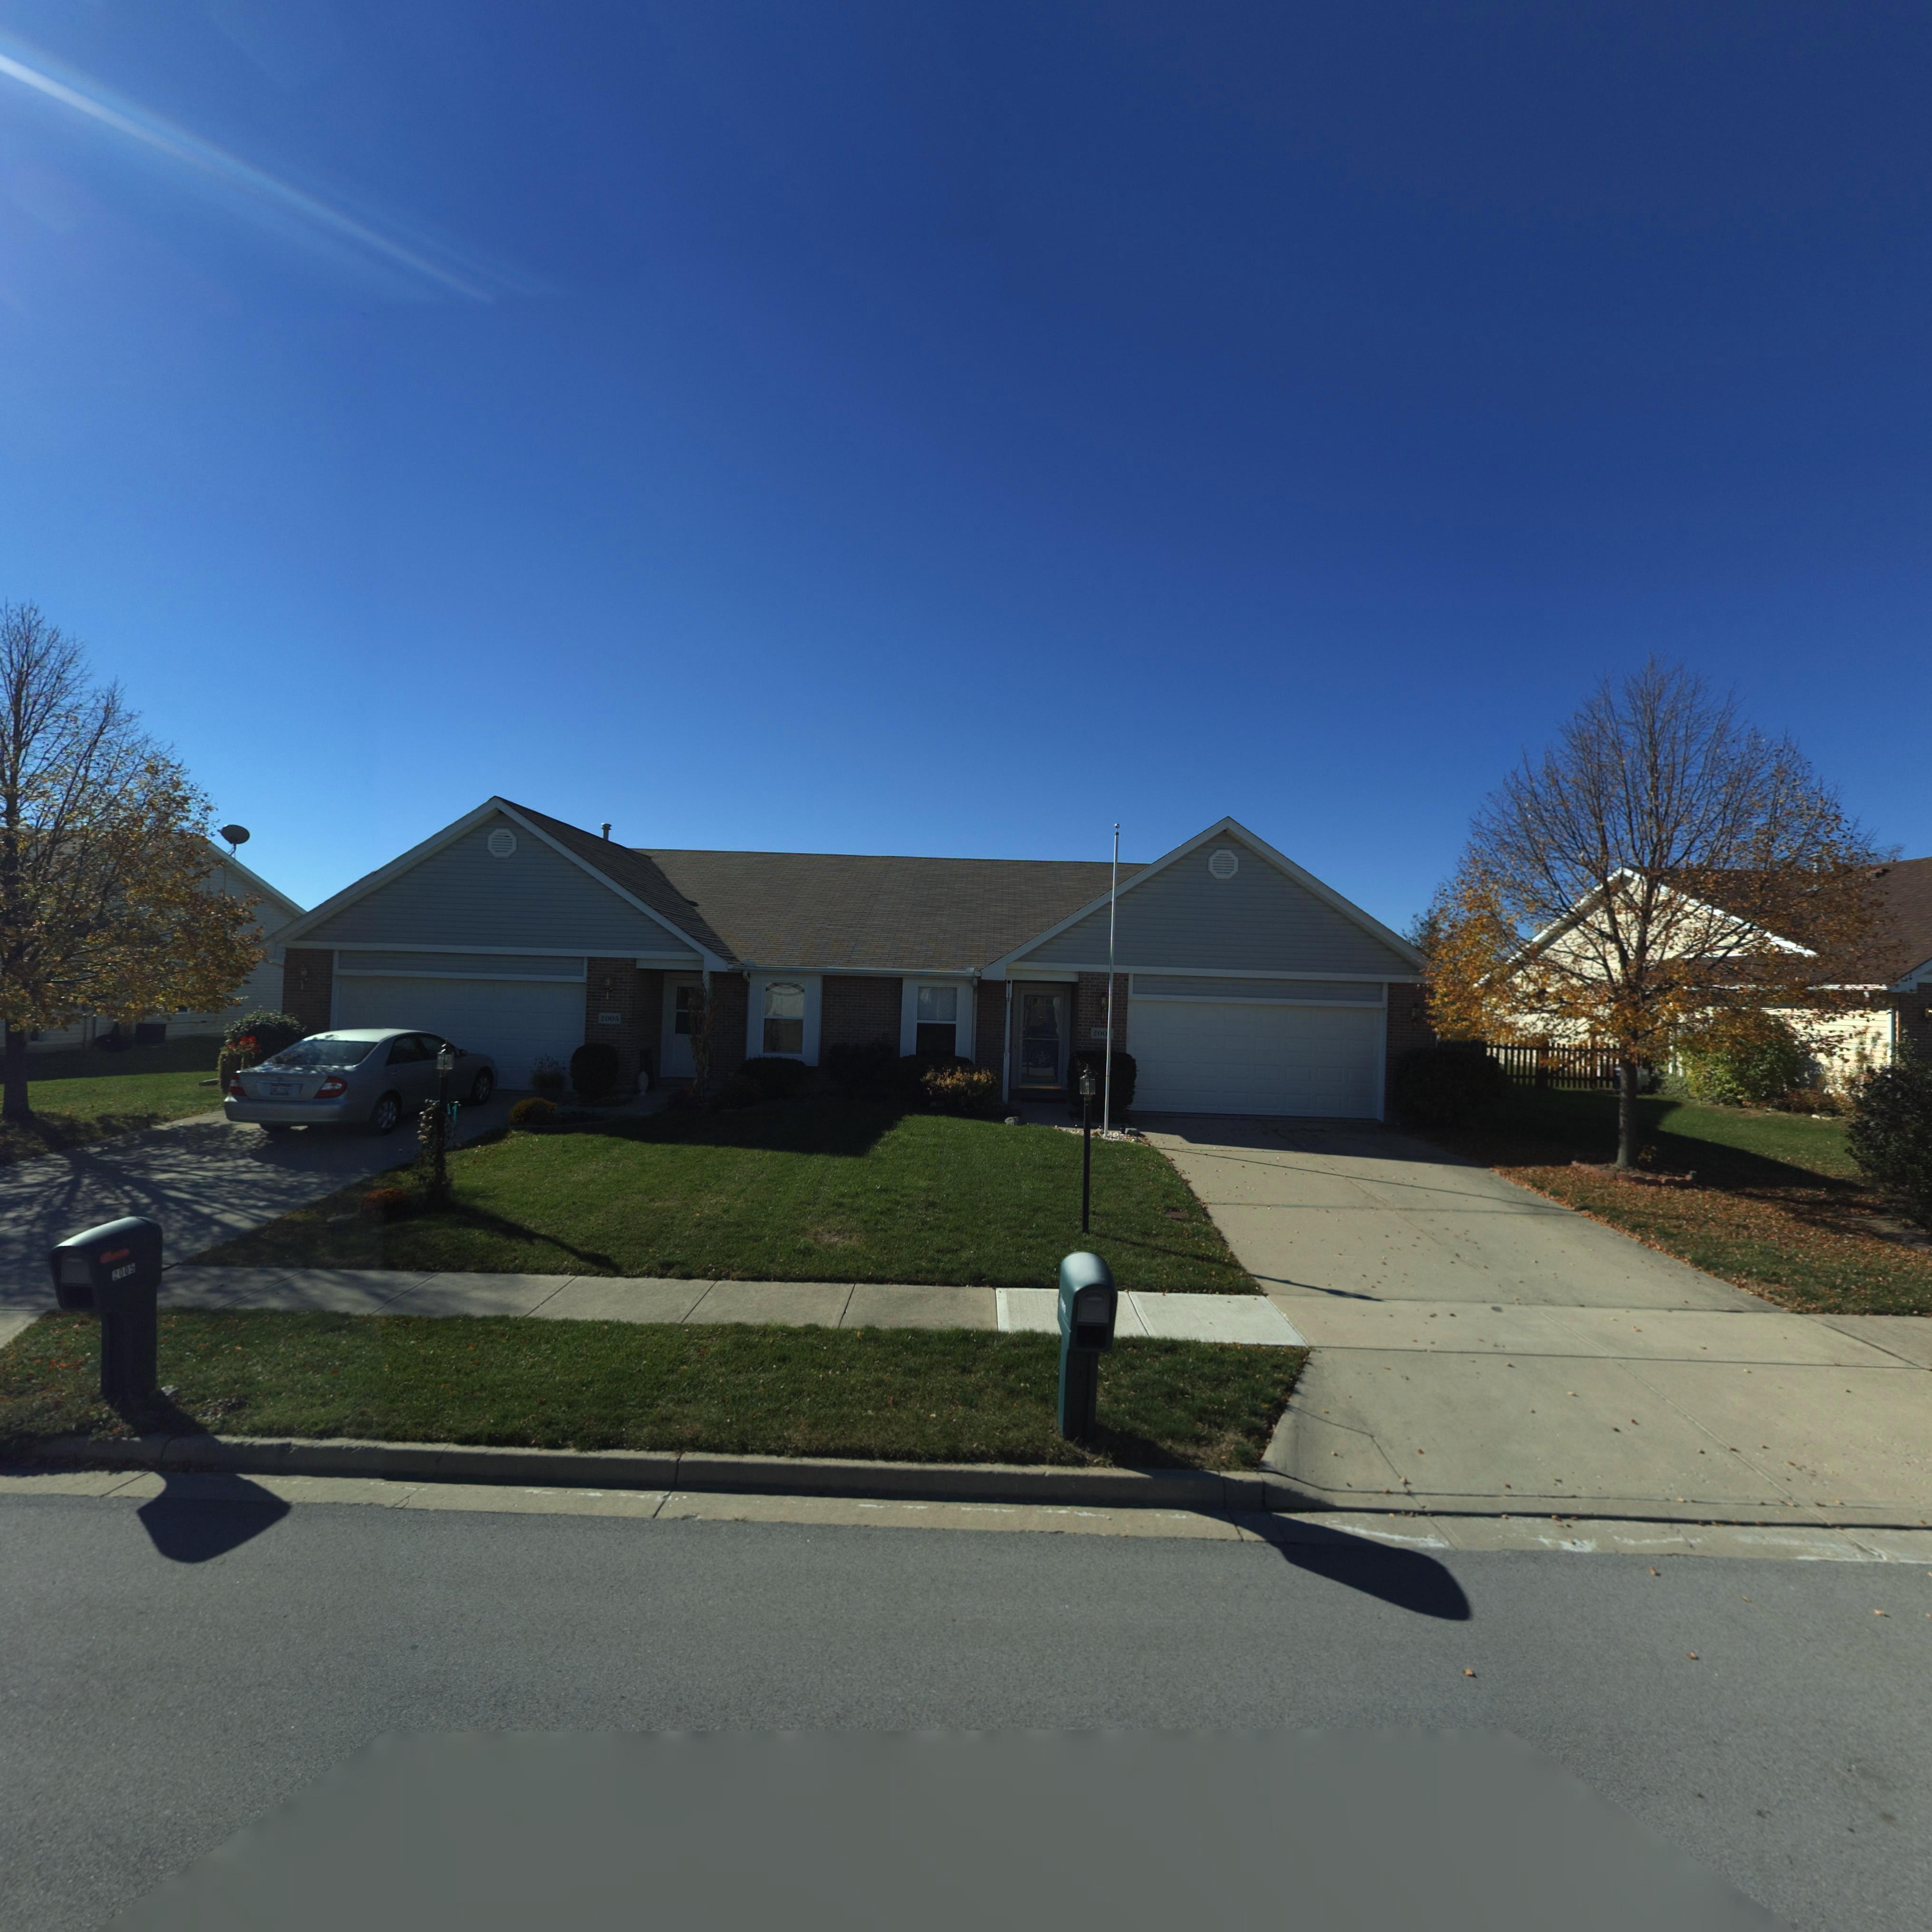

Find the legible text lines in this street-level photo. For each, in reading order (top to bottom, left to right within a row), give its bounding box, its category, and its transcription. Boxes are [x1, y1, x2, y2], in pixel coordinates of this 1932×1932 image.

[599, 1014, 619, 1023] StreetNumber: 2005
[1092, 1029, 1108, 1037] StreetNumber: 200
[112, 1261, 135, 1281] StreetNumber: 2005